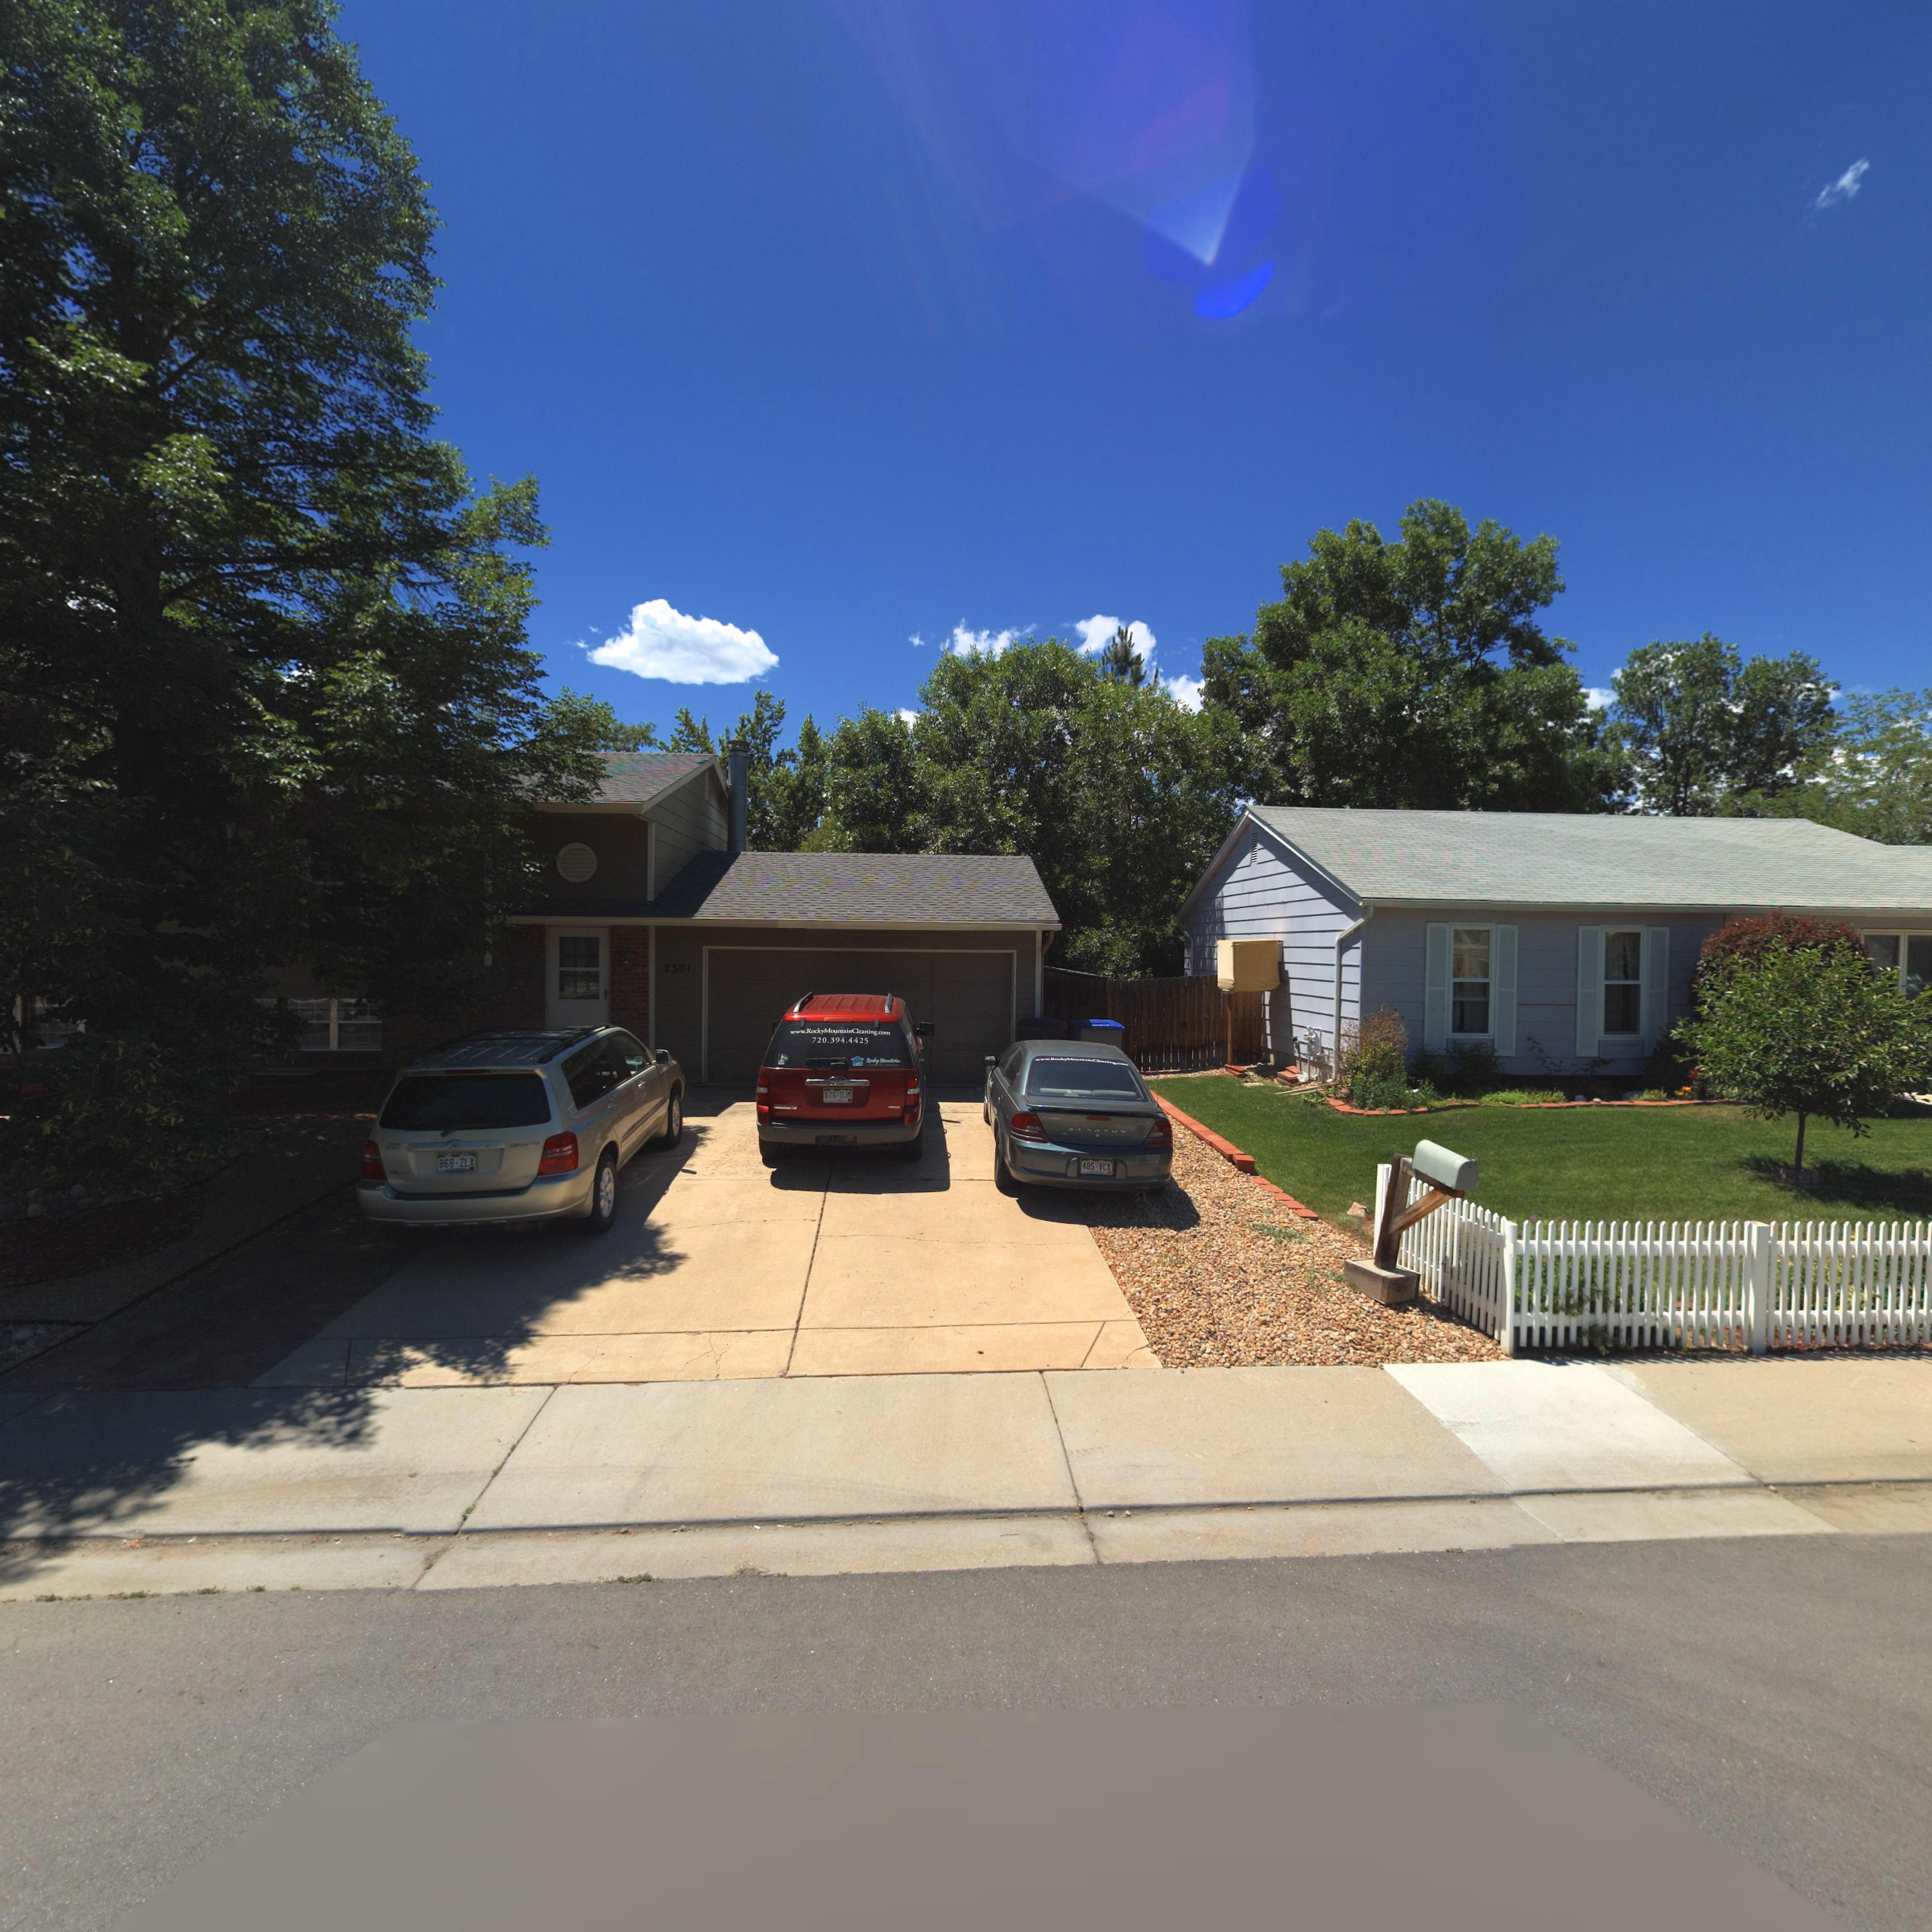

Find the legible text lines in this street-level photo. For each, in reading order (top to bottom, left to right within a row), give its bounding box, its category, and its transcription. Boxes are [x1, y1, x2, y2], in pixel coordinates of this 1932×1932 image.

[663, 963, 691, 973] StreetNumber: 2301